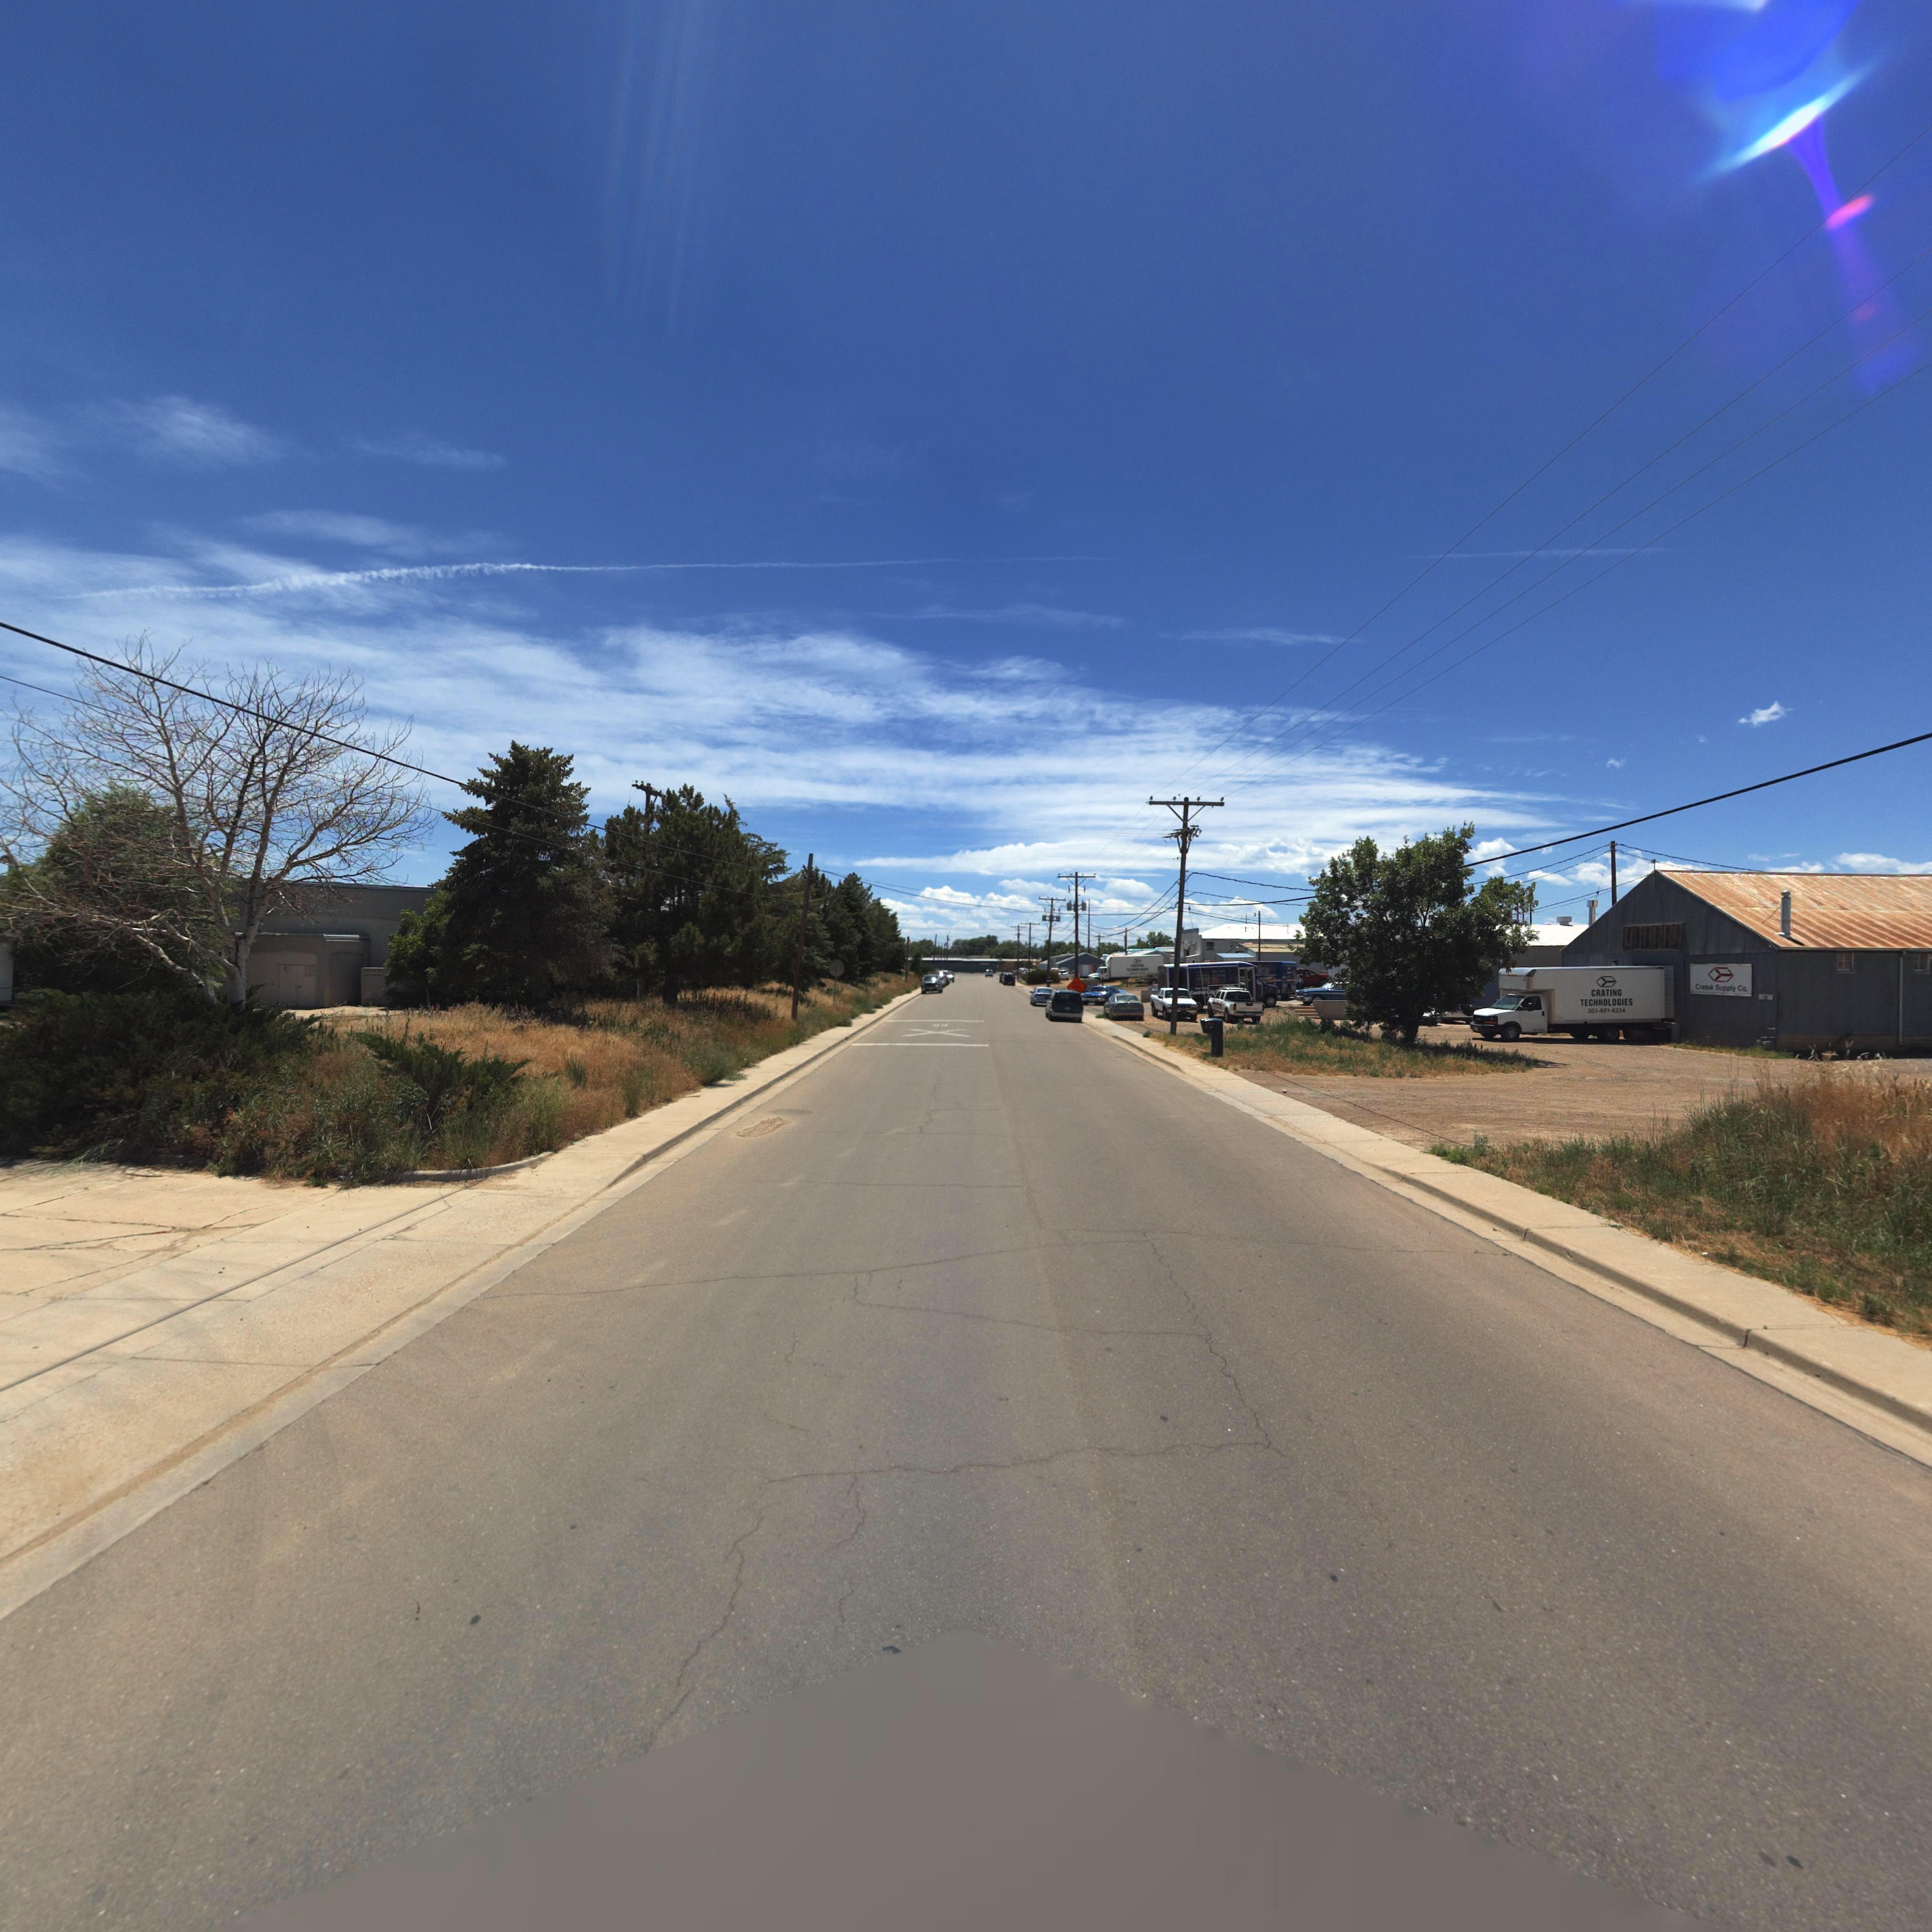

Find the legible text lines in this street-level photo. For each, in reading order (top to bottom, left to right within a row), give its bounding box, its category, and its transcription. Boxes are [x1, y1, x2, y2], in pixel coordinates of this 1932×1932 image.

[1695, 983, 1748, 993] BusinessName: Cratek Supply Co.